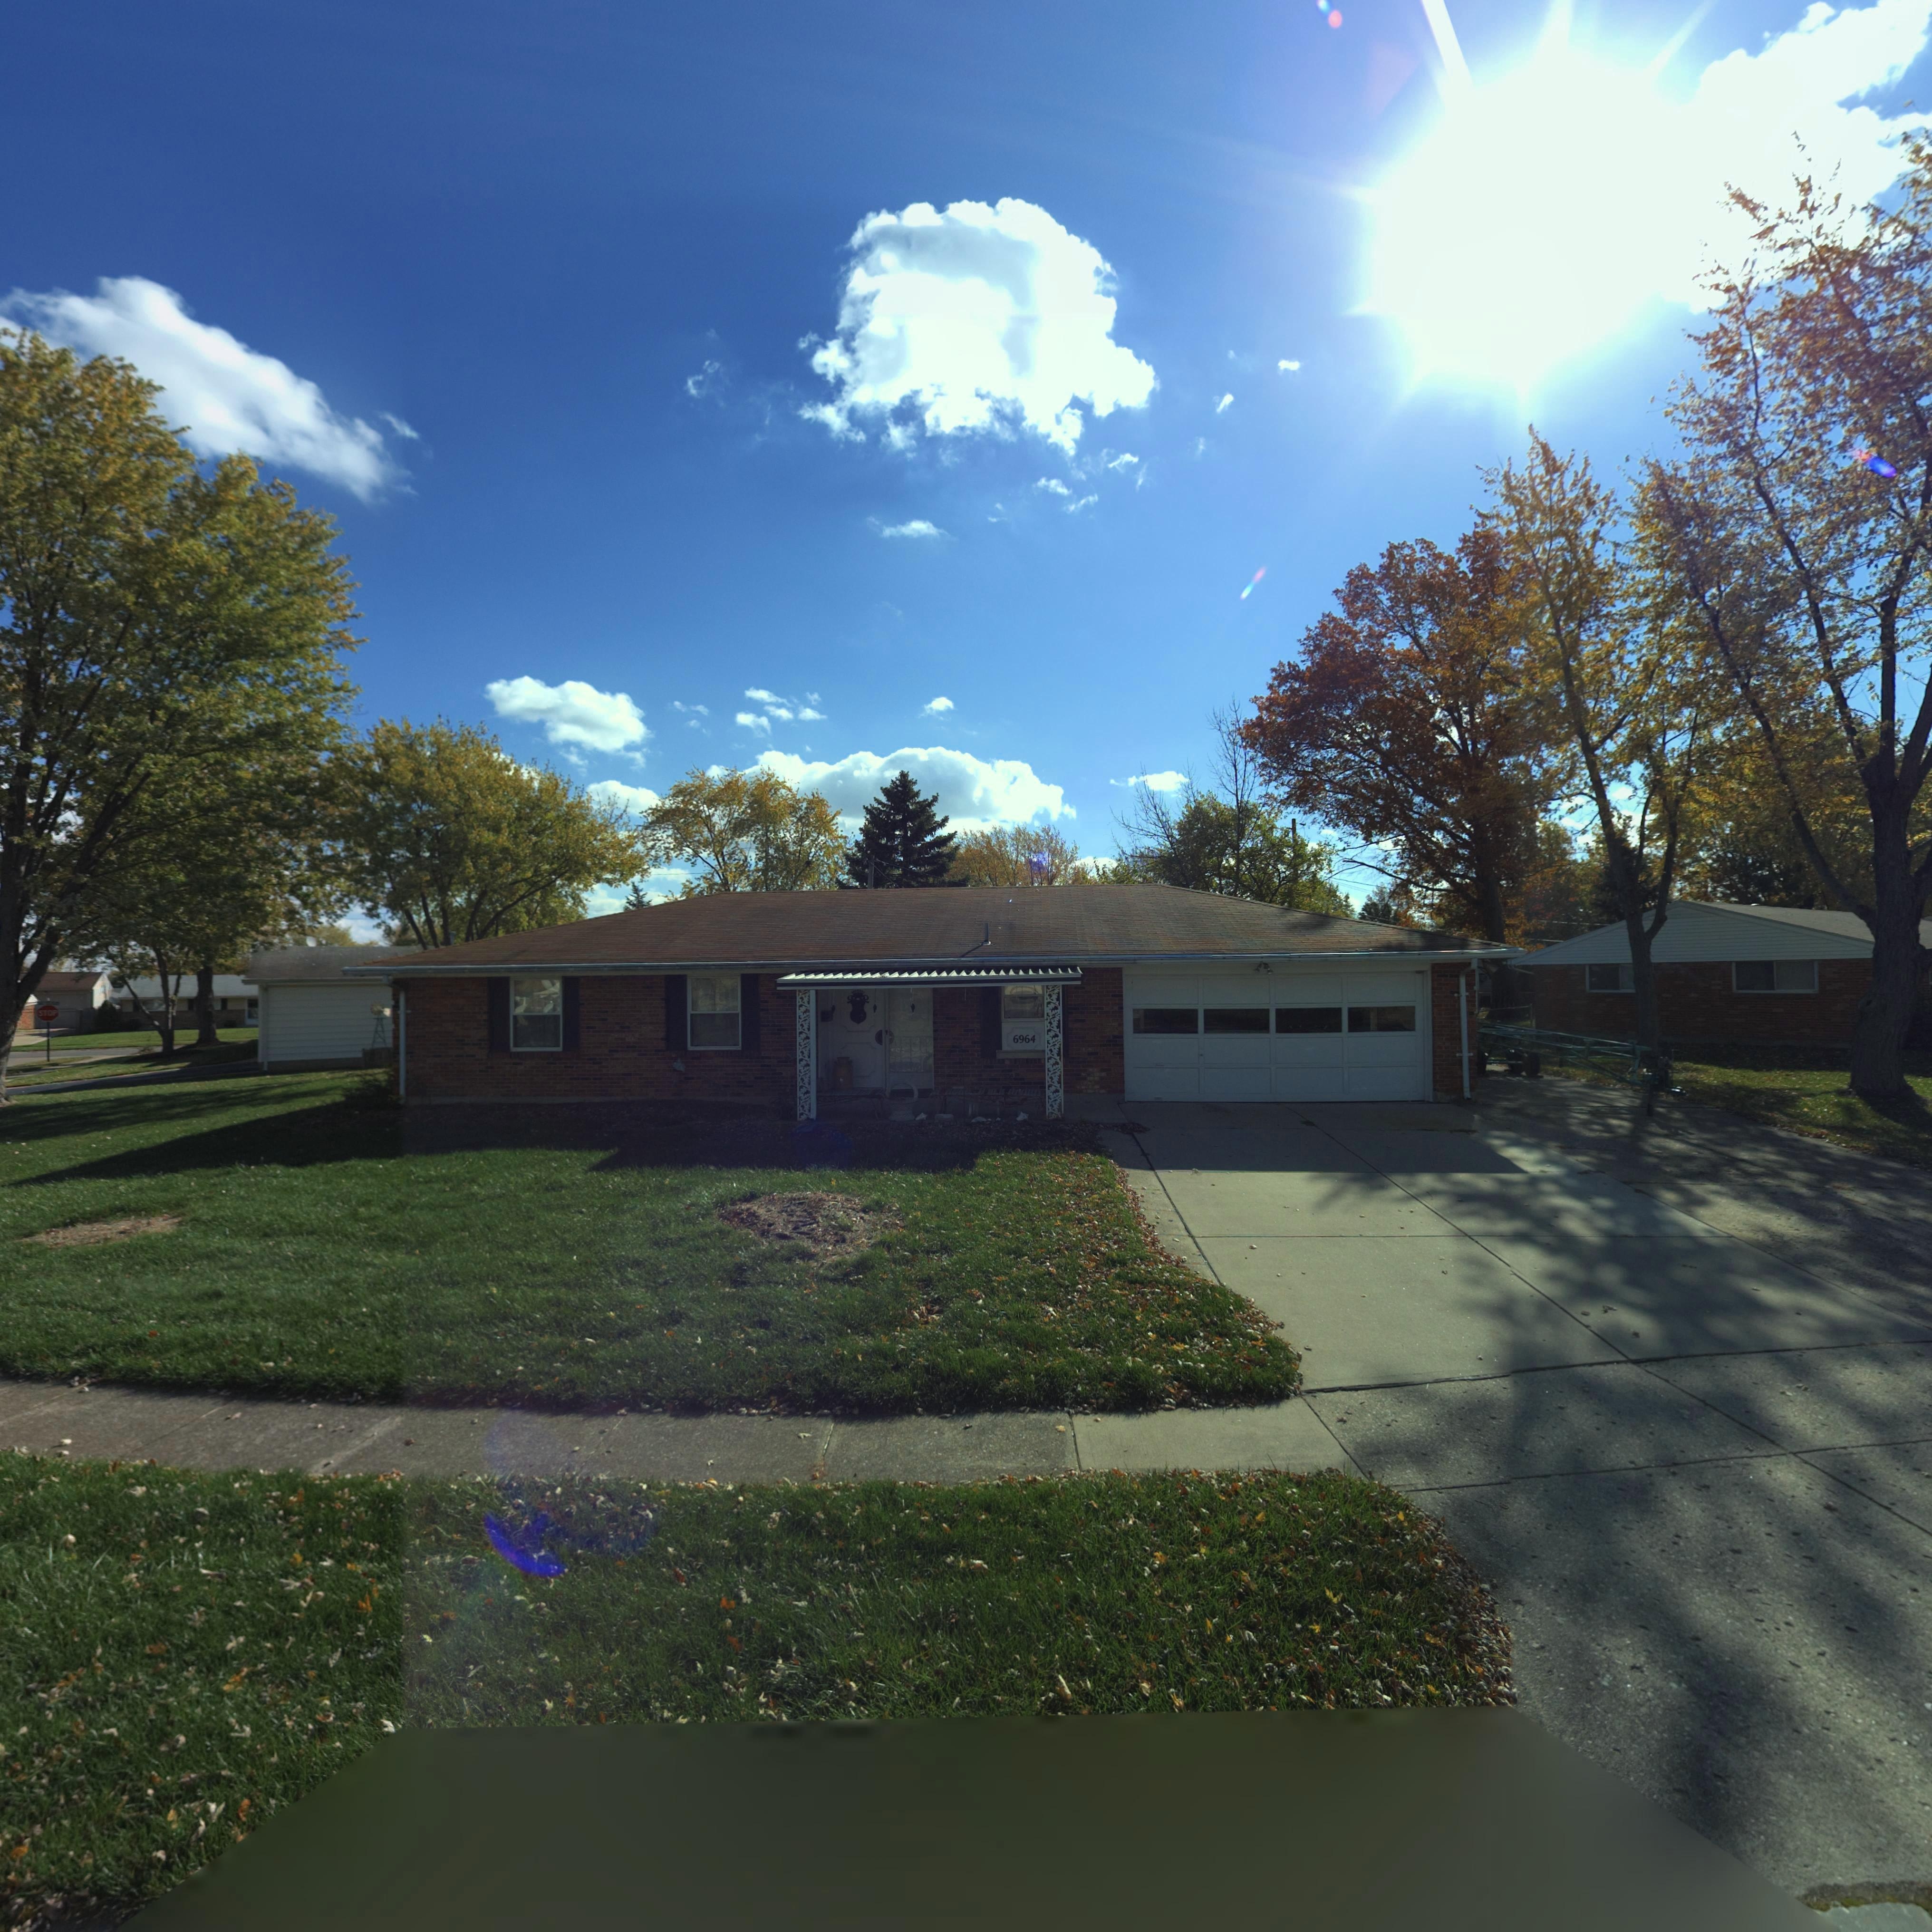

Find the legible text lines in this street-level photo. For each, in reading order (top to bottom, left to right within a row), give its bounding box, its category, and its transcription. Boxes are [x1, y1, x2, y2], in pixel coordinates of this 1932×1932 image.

[1012, 1034, 1037, 1045] StreetNumber: 6964